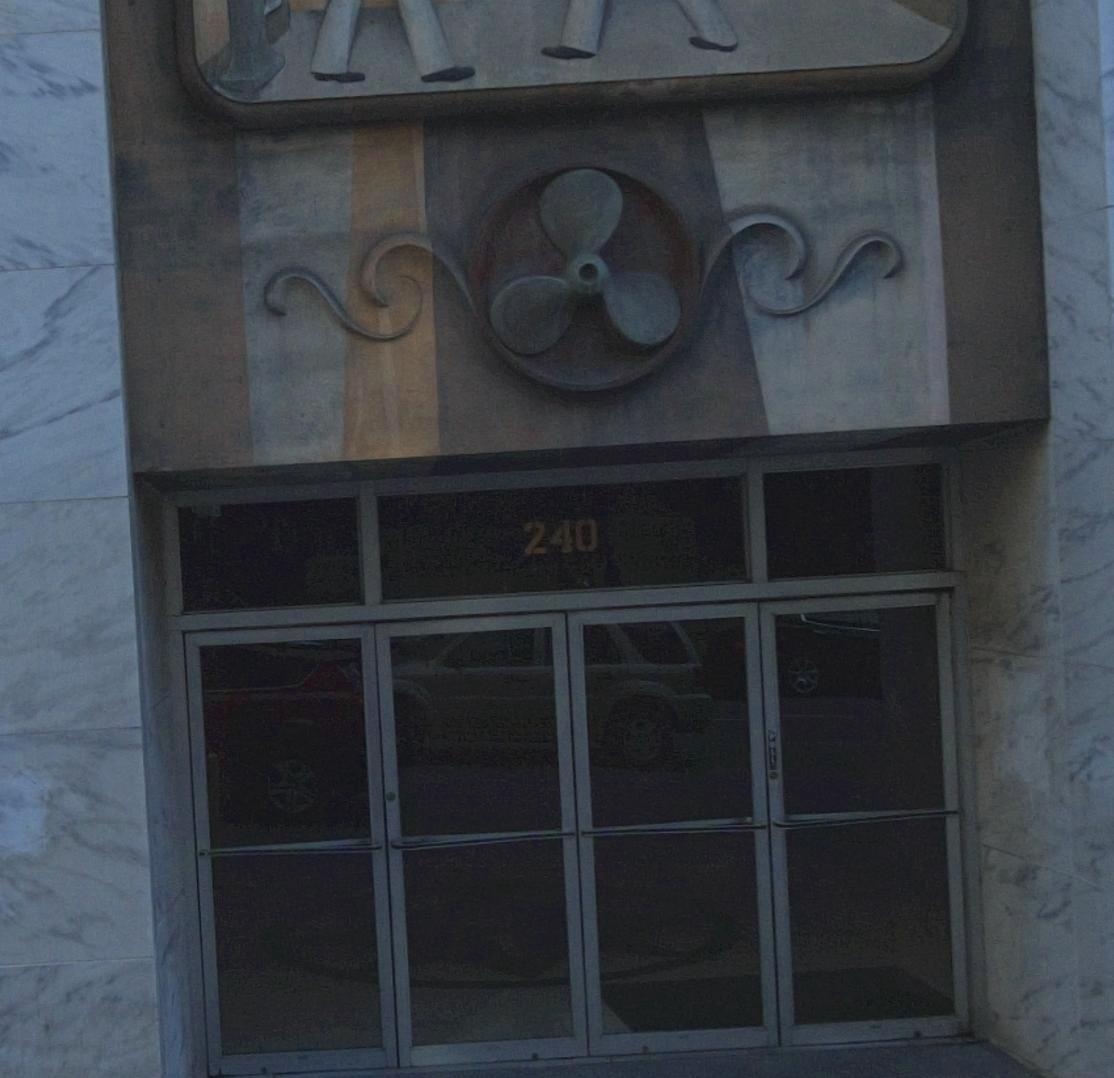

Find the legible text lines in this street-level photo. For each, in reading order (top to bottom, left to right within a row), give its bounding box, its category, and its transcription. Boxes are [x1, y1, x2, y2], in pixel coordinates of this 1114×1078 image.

[521, 516, 599, 557] StreetNumber: 240